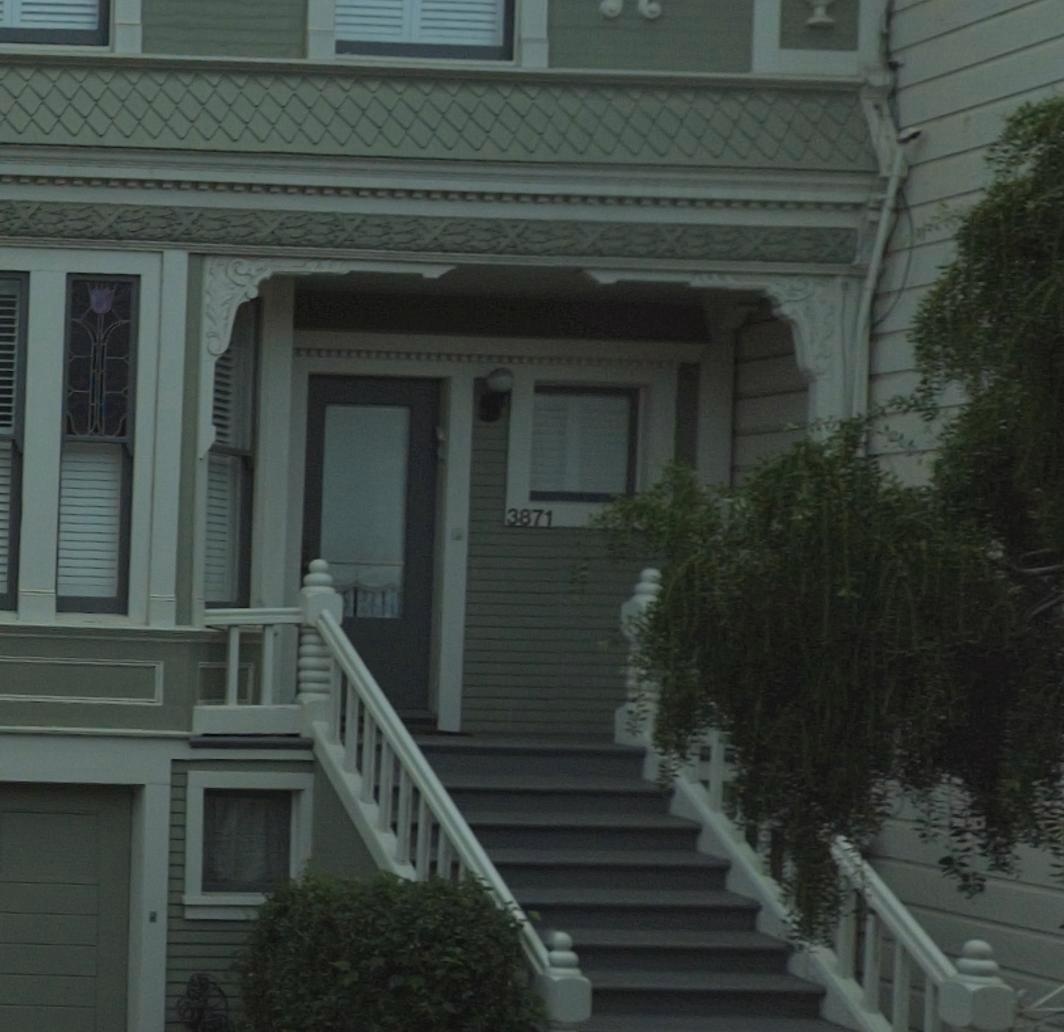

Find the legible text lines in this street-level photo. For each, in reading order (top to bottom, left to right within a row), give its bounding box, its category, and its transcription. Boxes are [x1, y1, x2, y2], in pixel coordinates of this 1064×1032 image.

[506, 507, 554, 526] StreetNumber: 3871